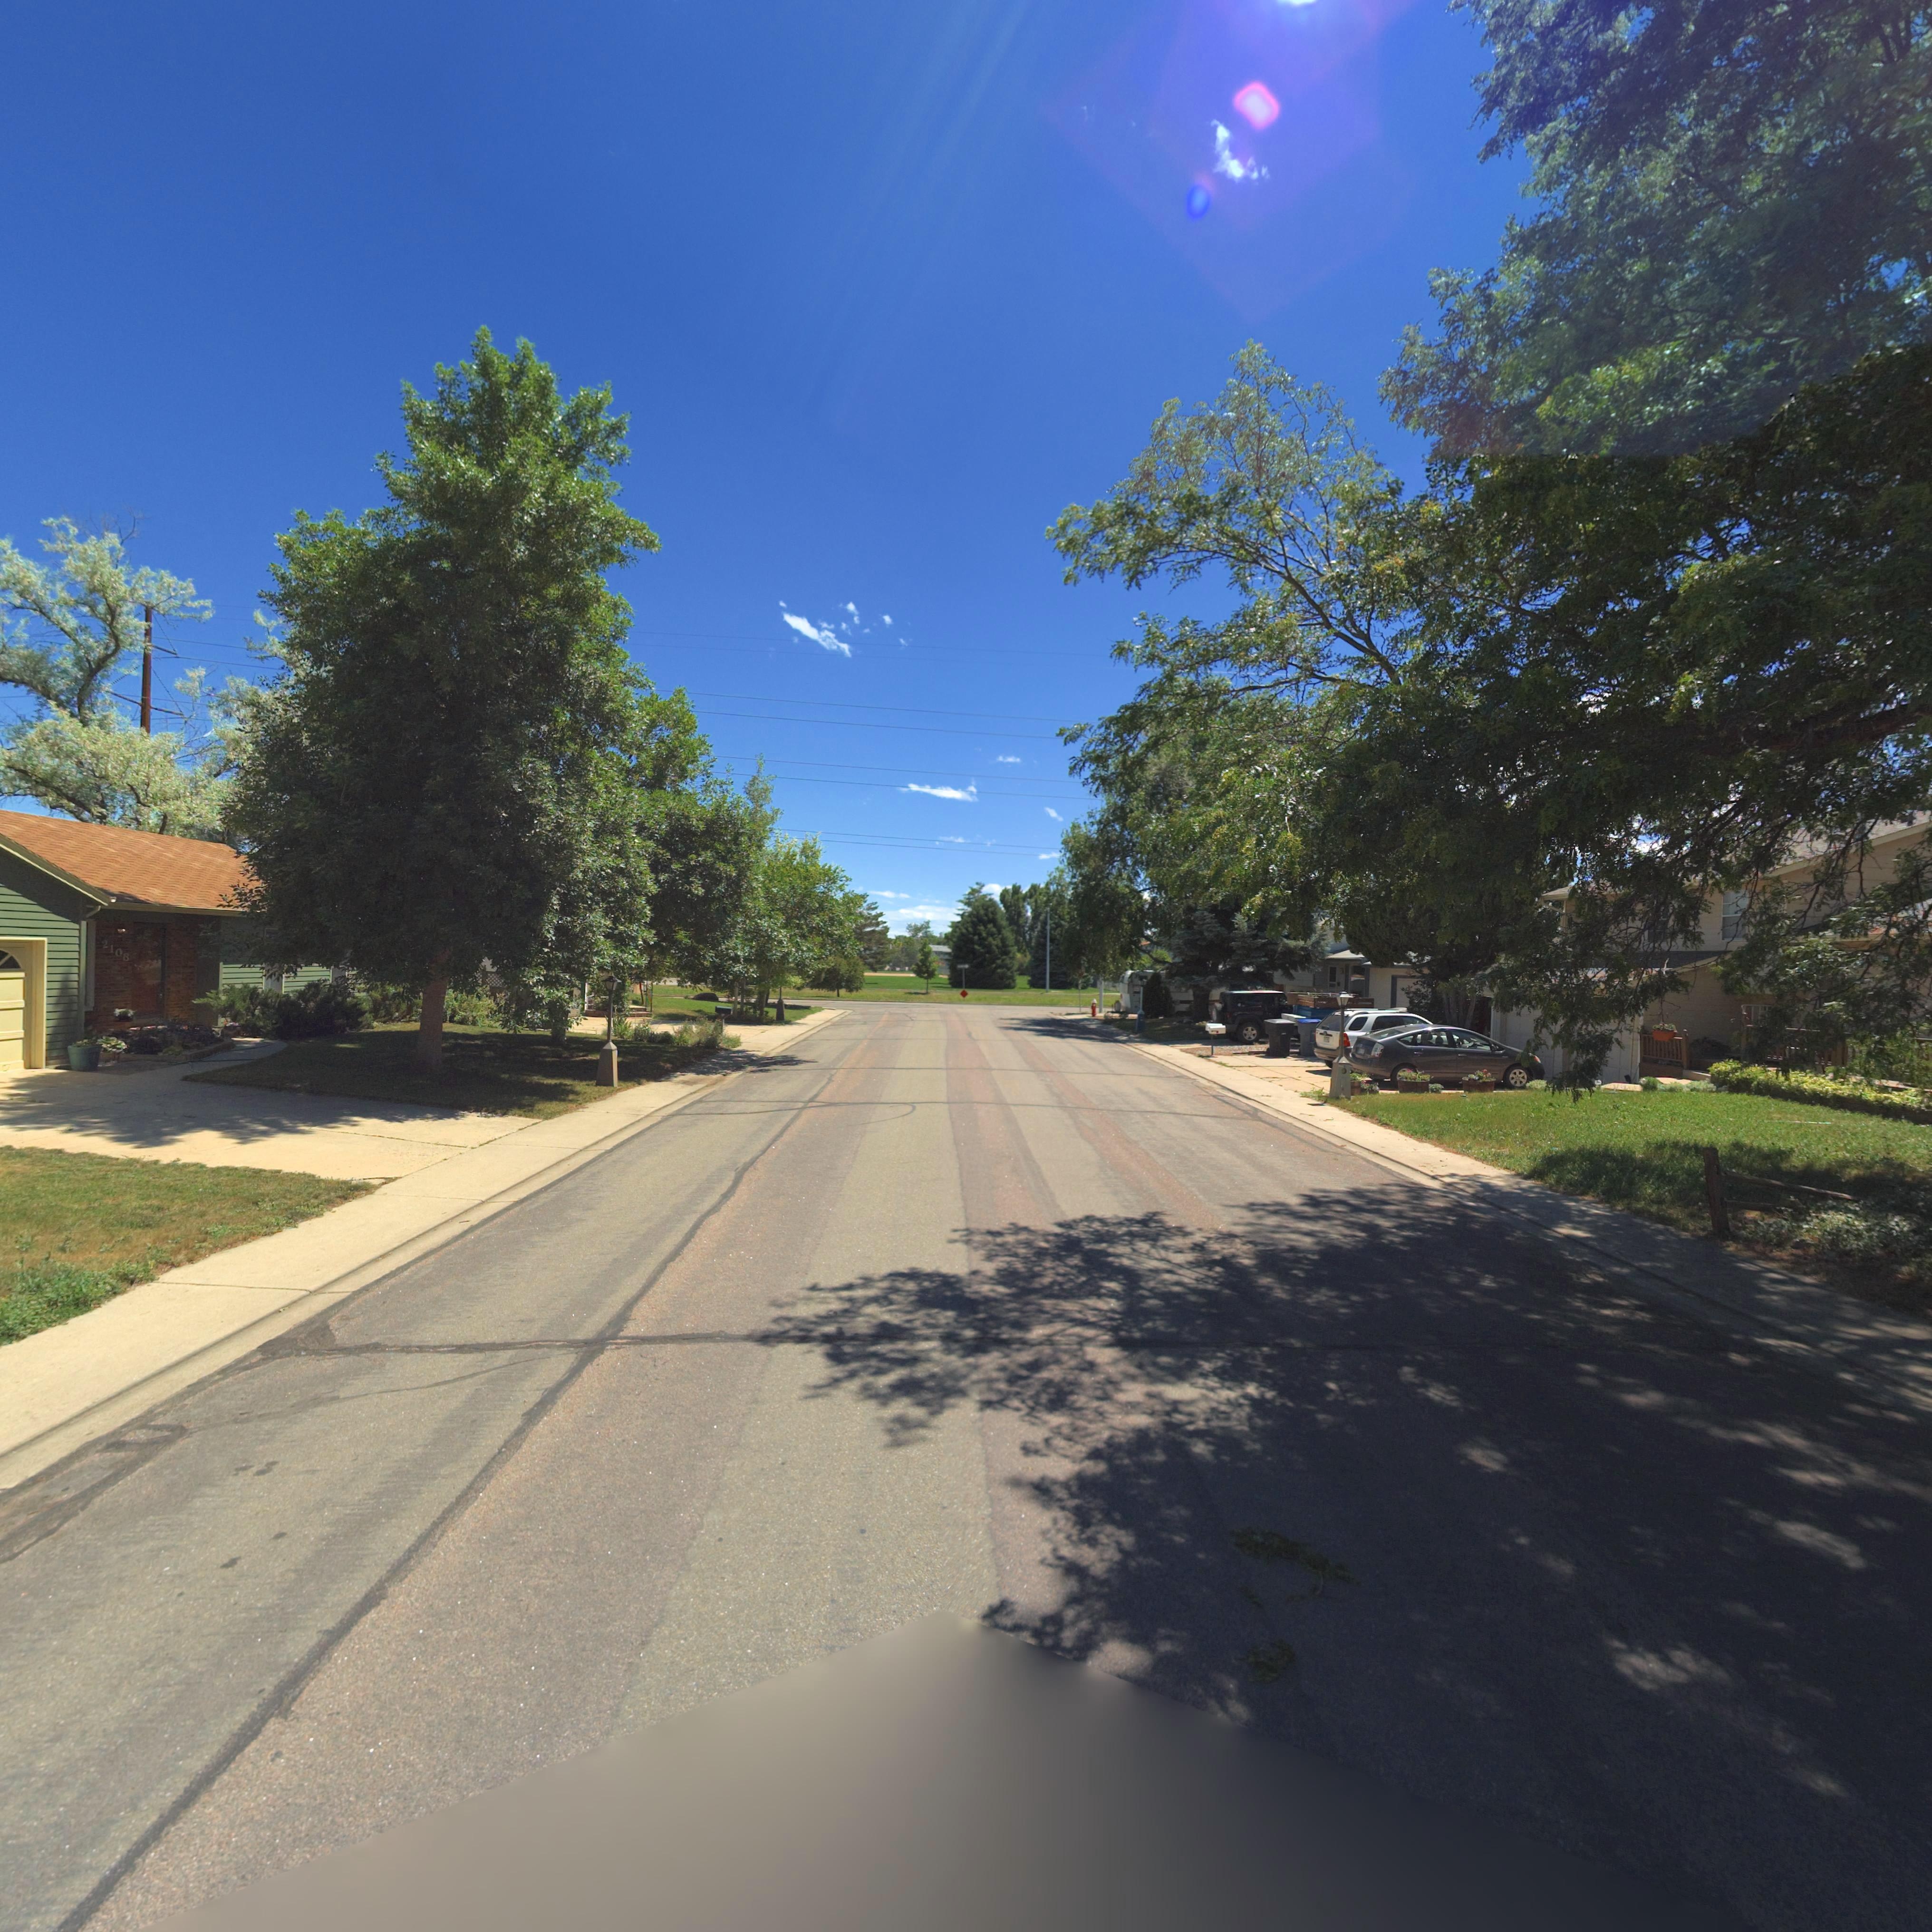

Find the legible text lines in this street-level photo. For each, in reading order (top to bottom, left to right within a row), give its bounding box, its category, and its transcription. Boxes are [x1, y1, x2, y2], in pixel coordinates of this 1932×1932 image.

[101, 938, 131, 965] StreetNumber: 2108